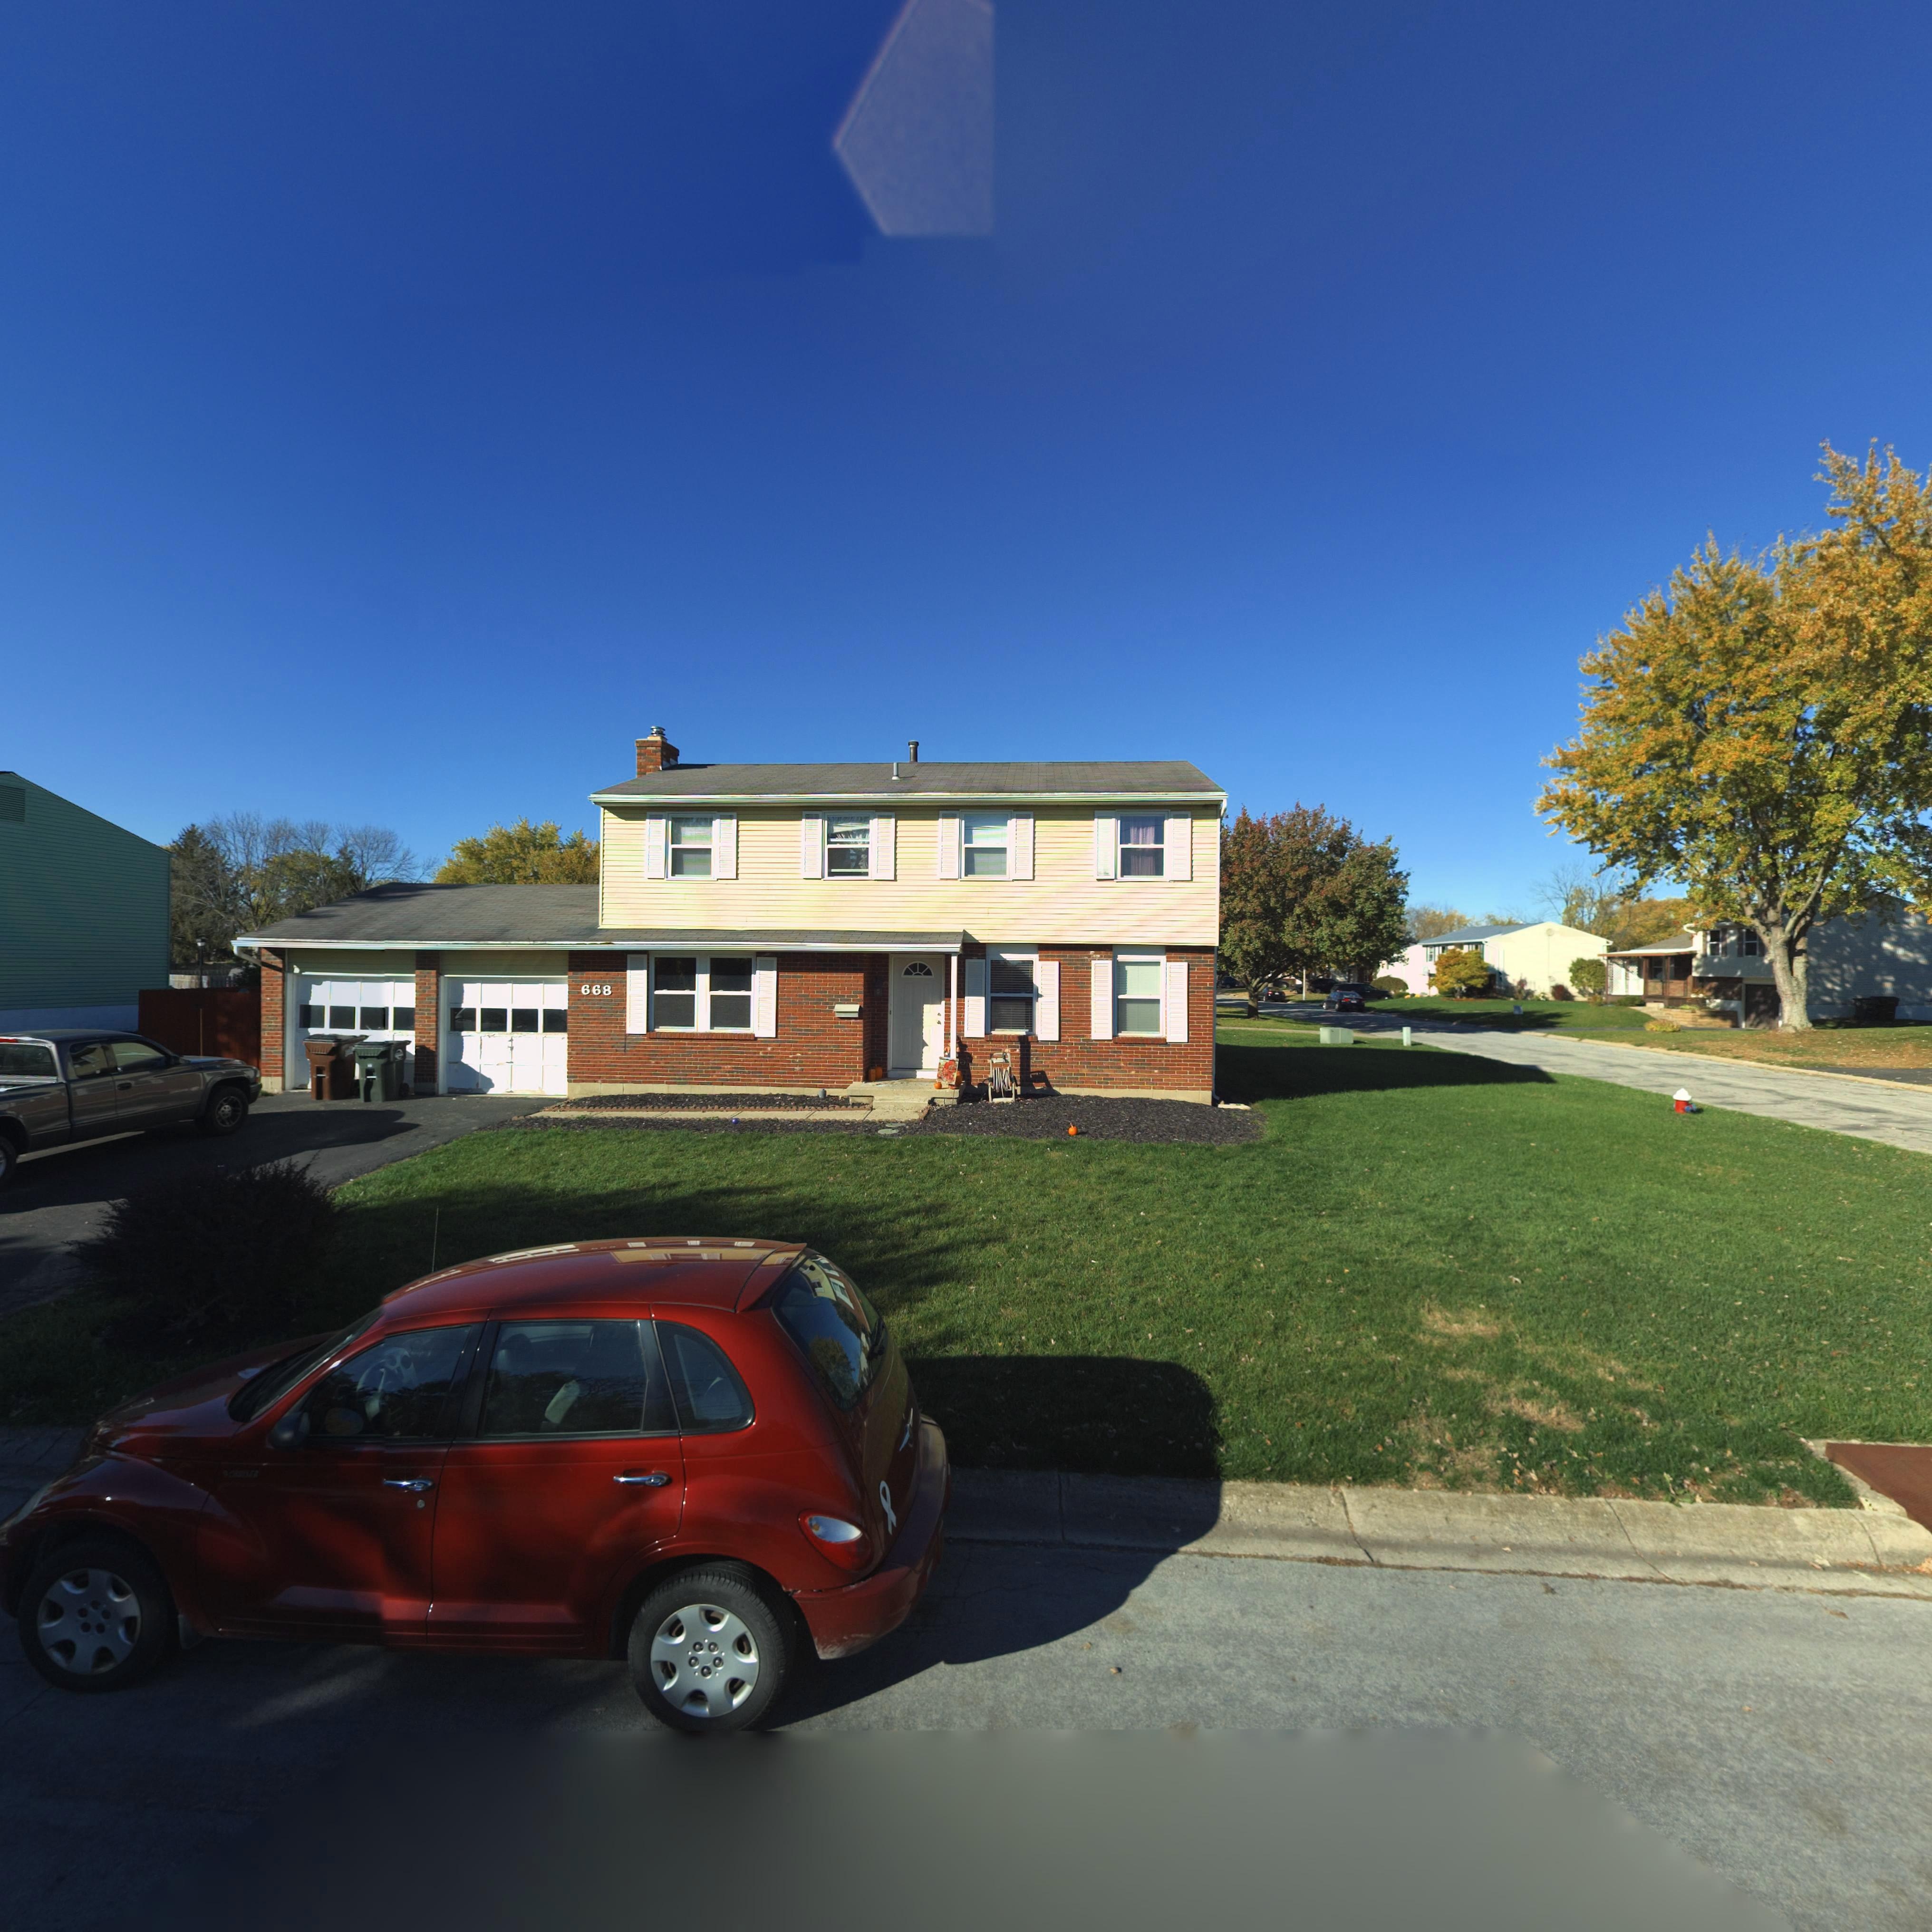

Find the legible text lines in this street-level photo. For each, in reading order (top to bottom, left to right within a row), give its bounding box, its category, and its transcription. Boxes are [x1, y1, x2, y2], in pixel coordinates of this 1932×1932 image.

[581, 984, 612, 996] StreetNumber: 668